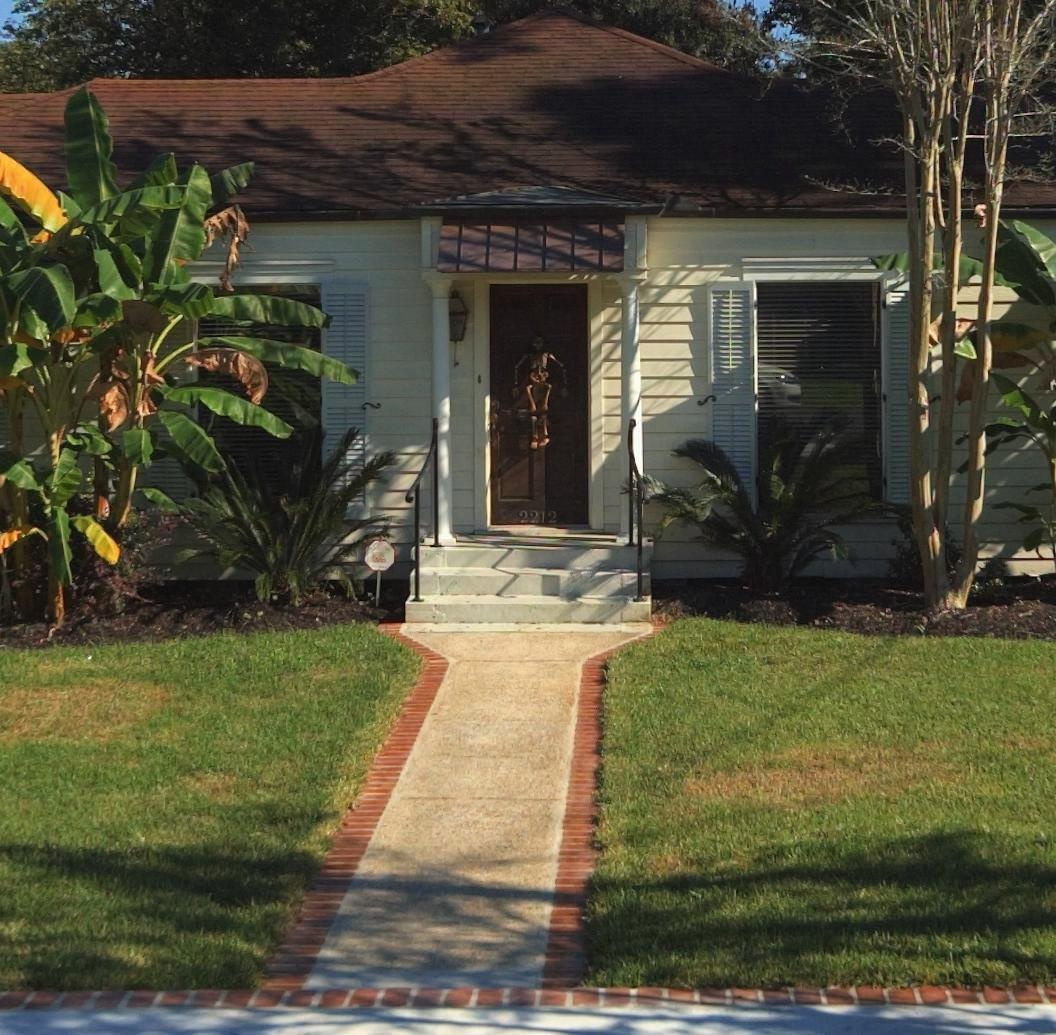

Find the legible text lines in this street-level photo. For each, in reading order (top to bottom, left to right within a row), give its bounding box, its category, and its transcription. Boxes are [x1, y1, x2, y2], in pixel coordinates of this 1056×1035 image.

[517, 508, 559, 525] StreetNumber: 2212